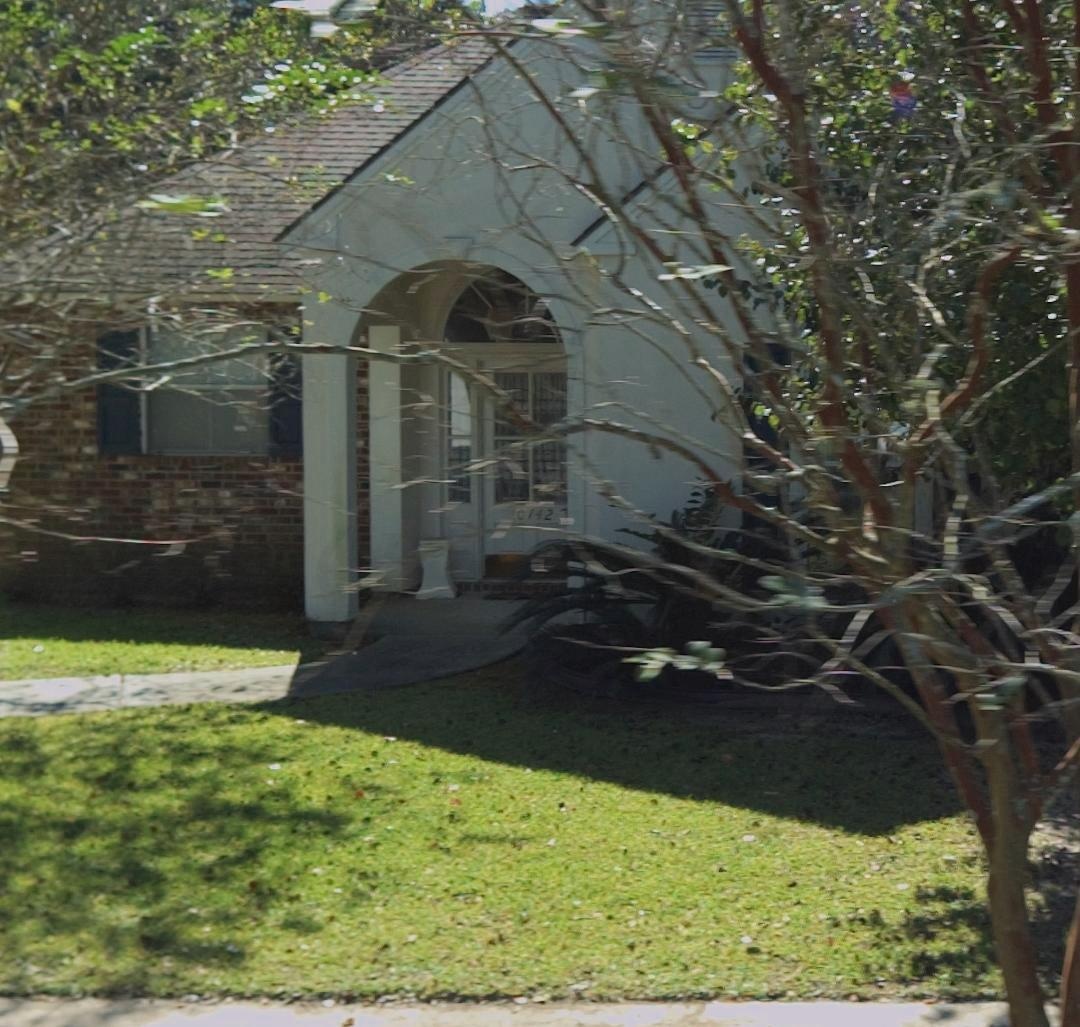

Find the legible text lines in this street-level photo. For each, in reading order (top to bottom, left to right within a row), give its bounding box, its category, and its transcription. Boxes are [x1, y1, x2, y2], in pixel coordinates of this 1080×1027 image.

[509, 506, 555, 523] StreetNumber: 10742